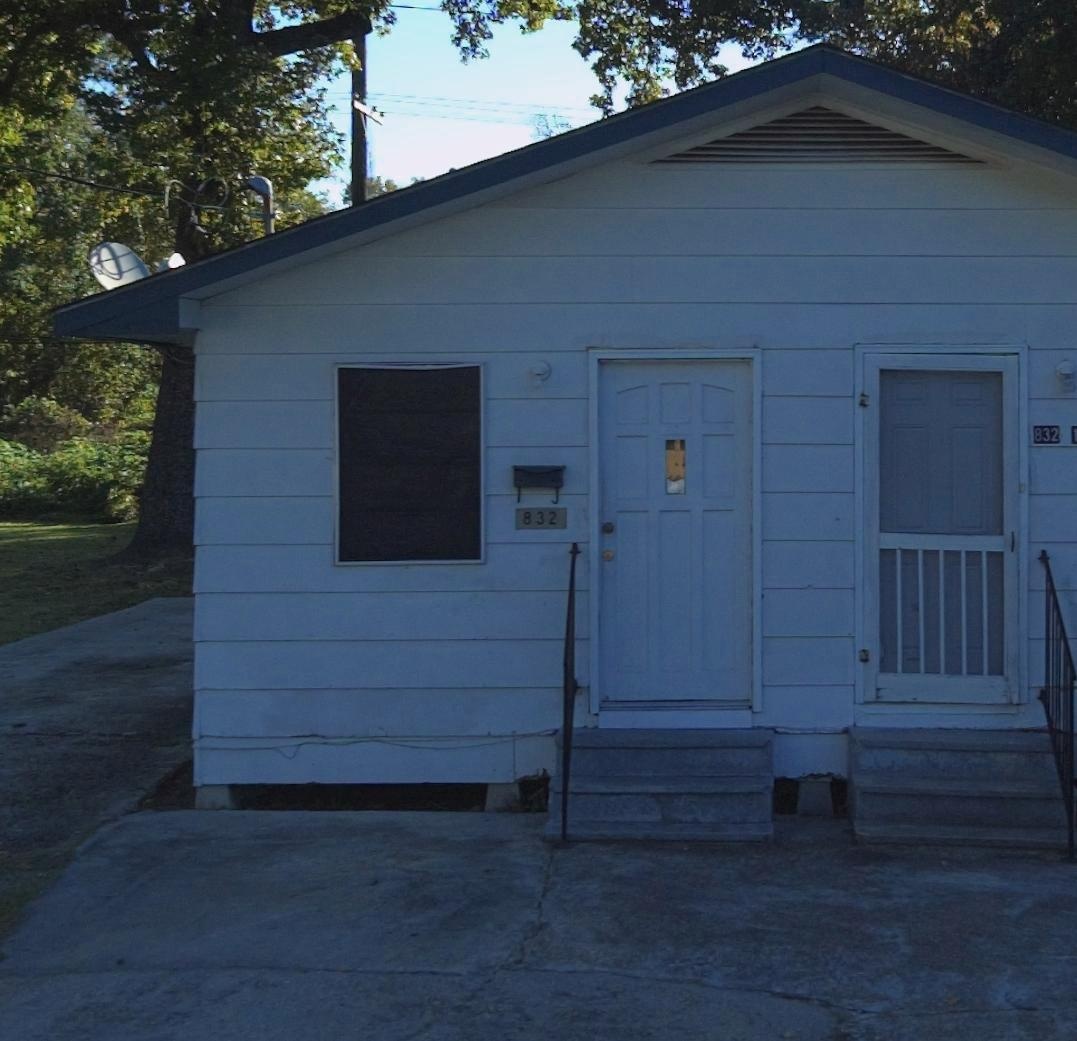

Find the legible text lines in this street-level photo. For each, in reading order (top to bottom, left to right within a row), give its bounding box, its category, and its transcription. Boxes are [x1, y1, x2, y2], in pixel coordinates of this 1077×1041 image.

[1032, 425, 1061, 443] StreetNumber: 832
[522, 509, 558, 527] StreetNumber: 832